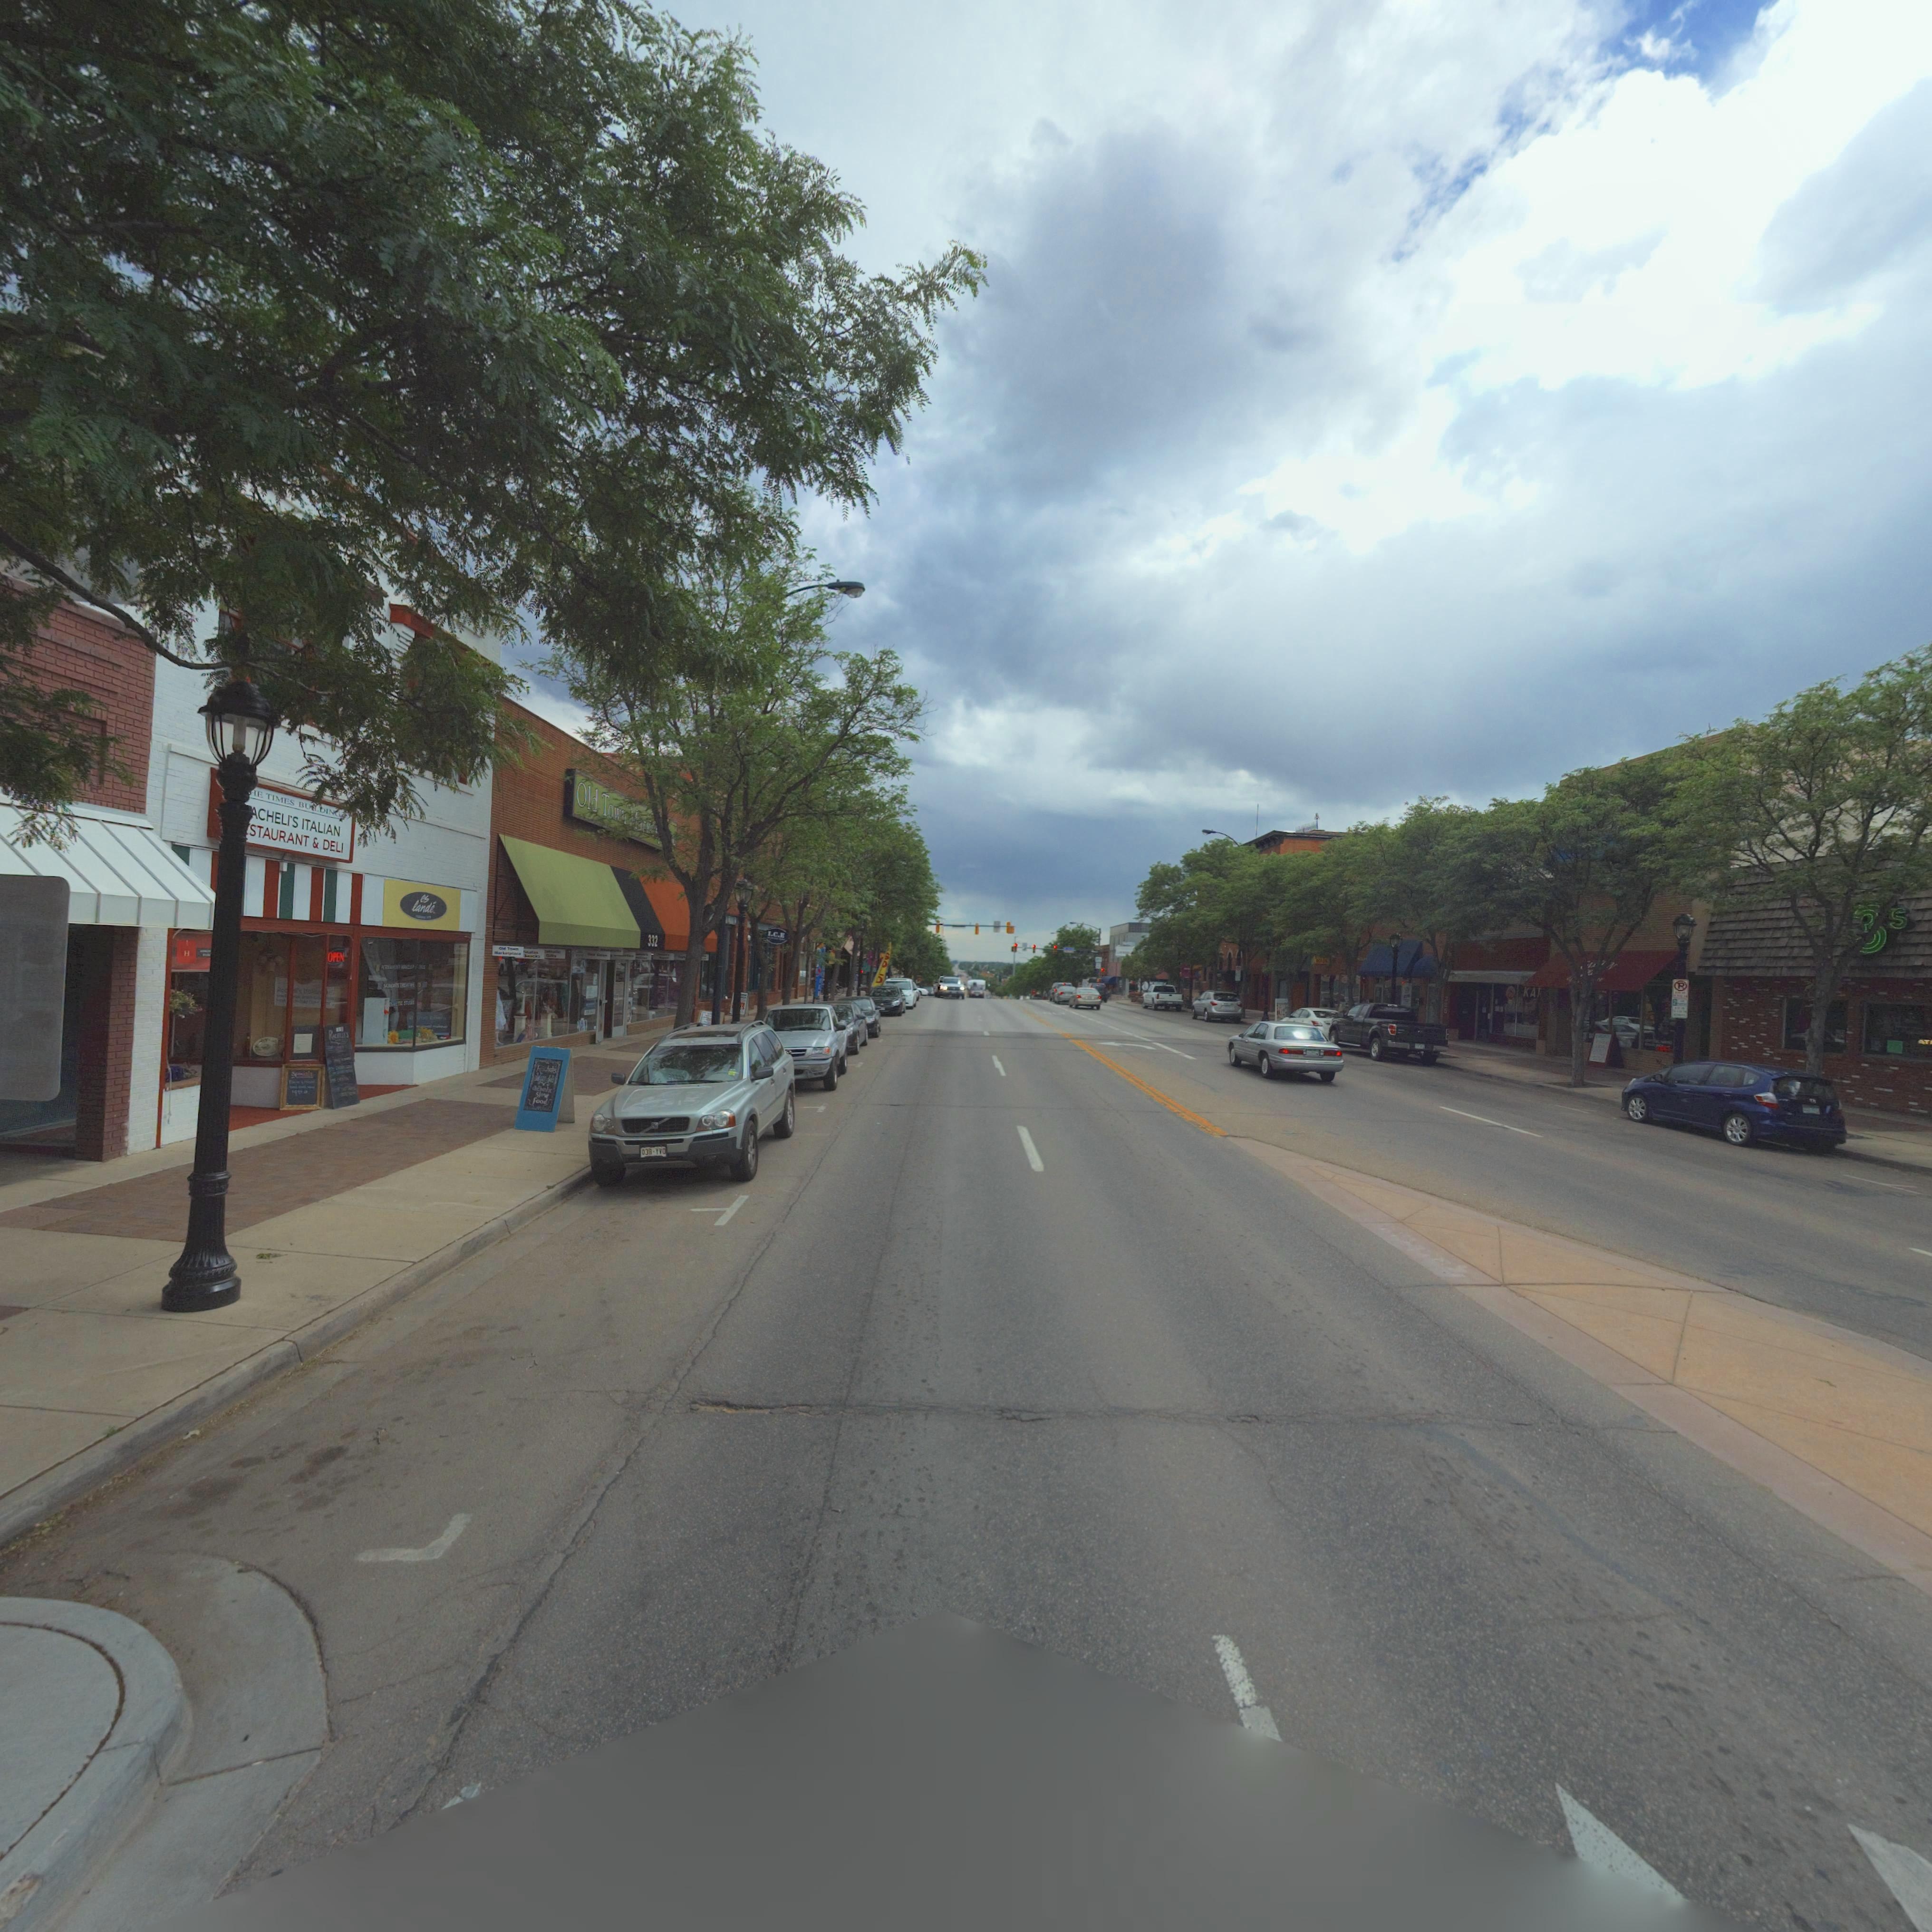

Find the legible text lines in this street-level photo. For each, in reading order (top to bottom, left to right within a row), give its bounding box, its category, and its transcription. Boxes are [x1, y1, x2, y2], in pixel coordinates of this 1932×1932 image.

[576, 780, 675, 845] BusinessName: Old Tow* M**********
[249, 805, 341, 838] BusinessName: *ACHELI'S ITALIAN
[420, 894, 430, 904] BusinessName: es
[411, 899, 436, 914] BusinessName: lande
[767, 930, 785, 938] BusinessName: I.C.E
[1852, 902, 1909, 955] BusinessName: 3's
[647, 934, 658, 947] StreetNumber: 332
[499, 946, 519, 951] BusinessName: O** T***
[1580, 959, 1618, 970] BusinessName: *****N
[1149, 981, 1166, 986] BusinessName: K****
[277, 986, 322, 995] BusinessName: R*c****s I*****n ****
[1443, 996, 1448, 1014] StreetNumber: 325
[328, 1029, 349, 1041] BusinessName: RAC*ELI'S
[535, 1063, 557, 1074] BusinessName: R*cheli's